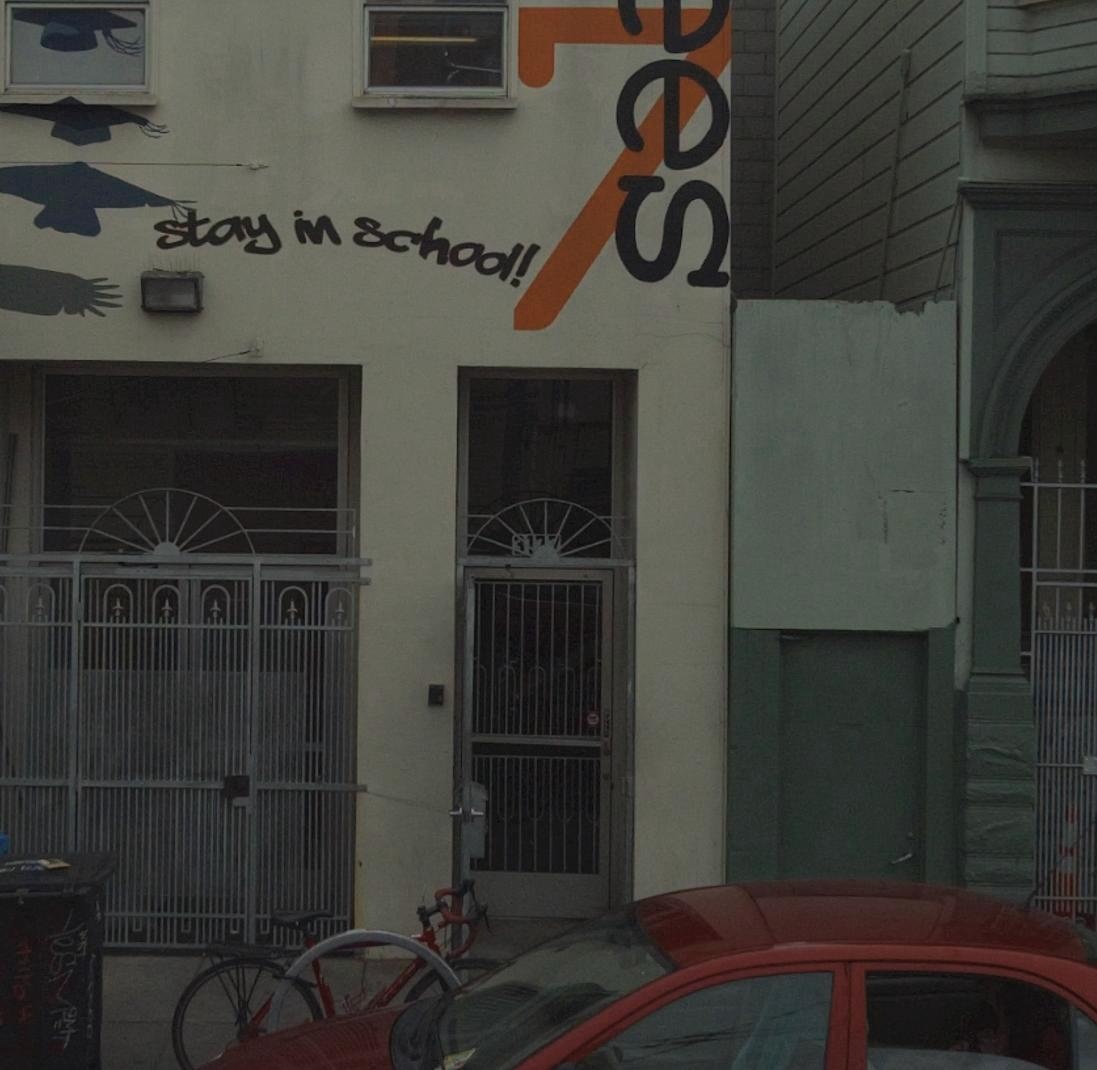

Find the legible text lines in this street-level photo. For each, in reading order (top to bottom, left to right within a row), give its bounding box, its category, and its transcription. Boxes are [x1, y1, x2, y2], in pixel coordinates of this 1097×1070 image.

[152, 208, 527, 284] None: stay in school
[614, 56, 731, 289] None: es